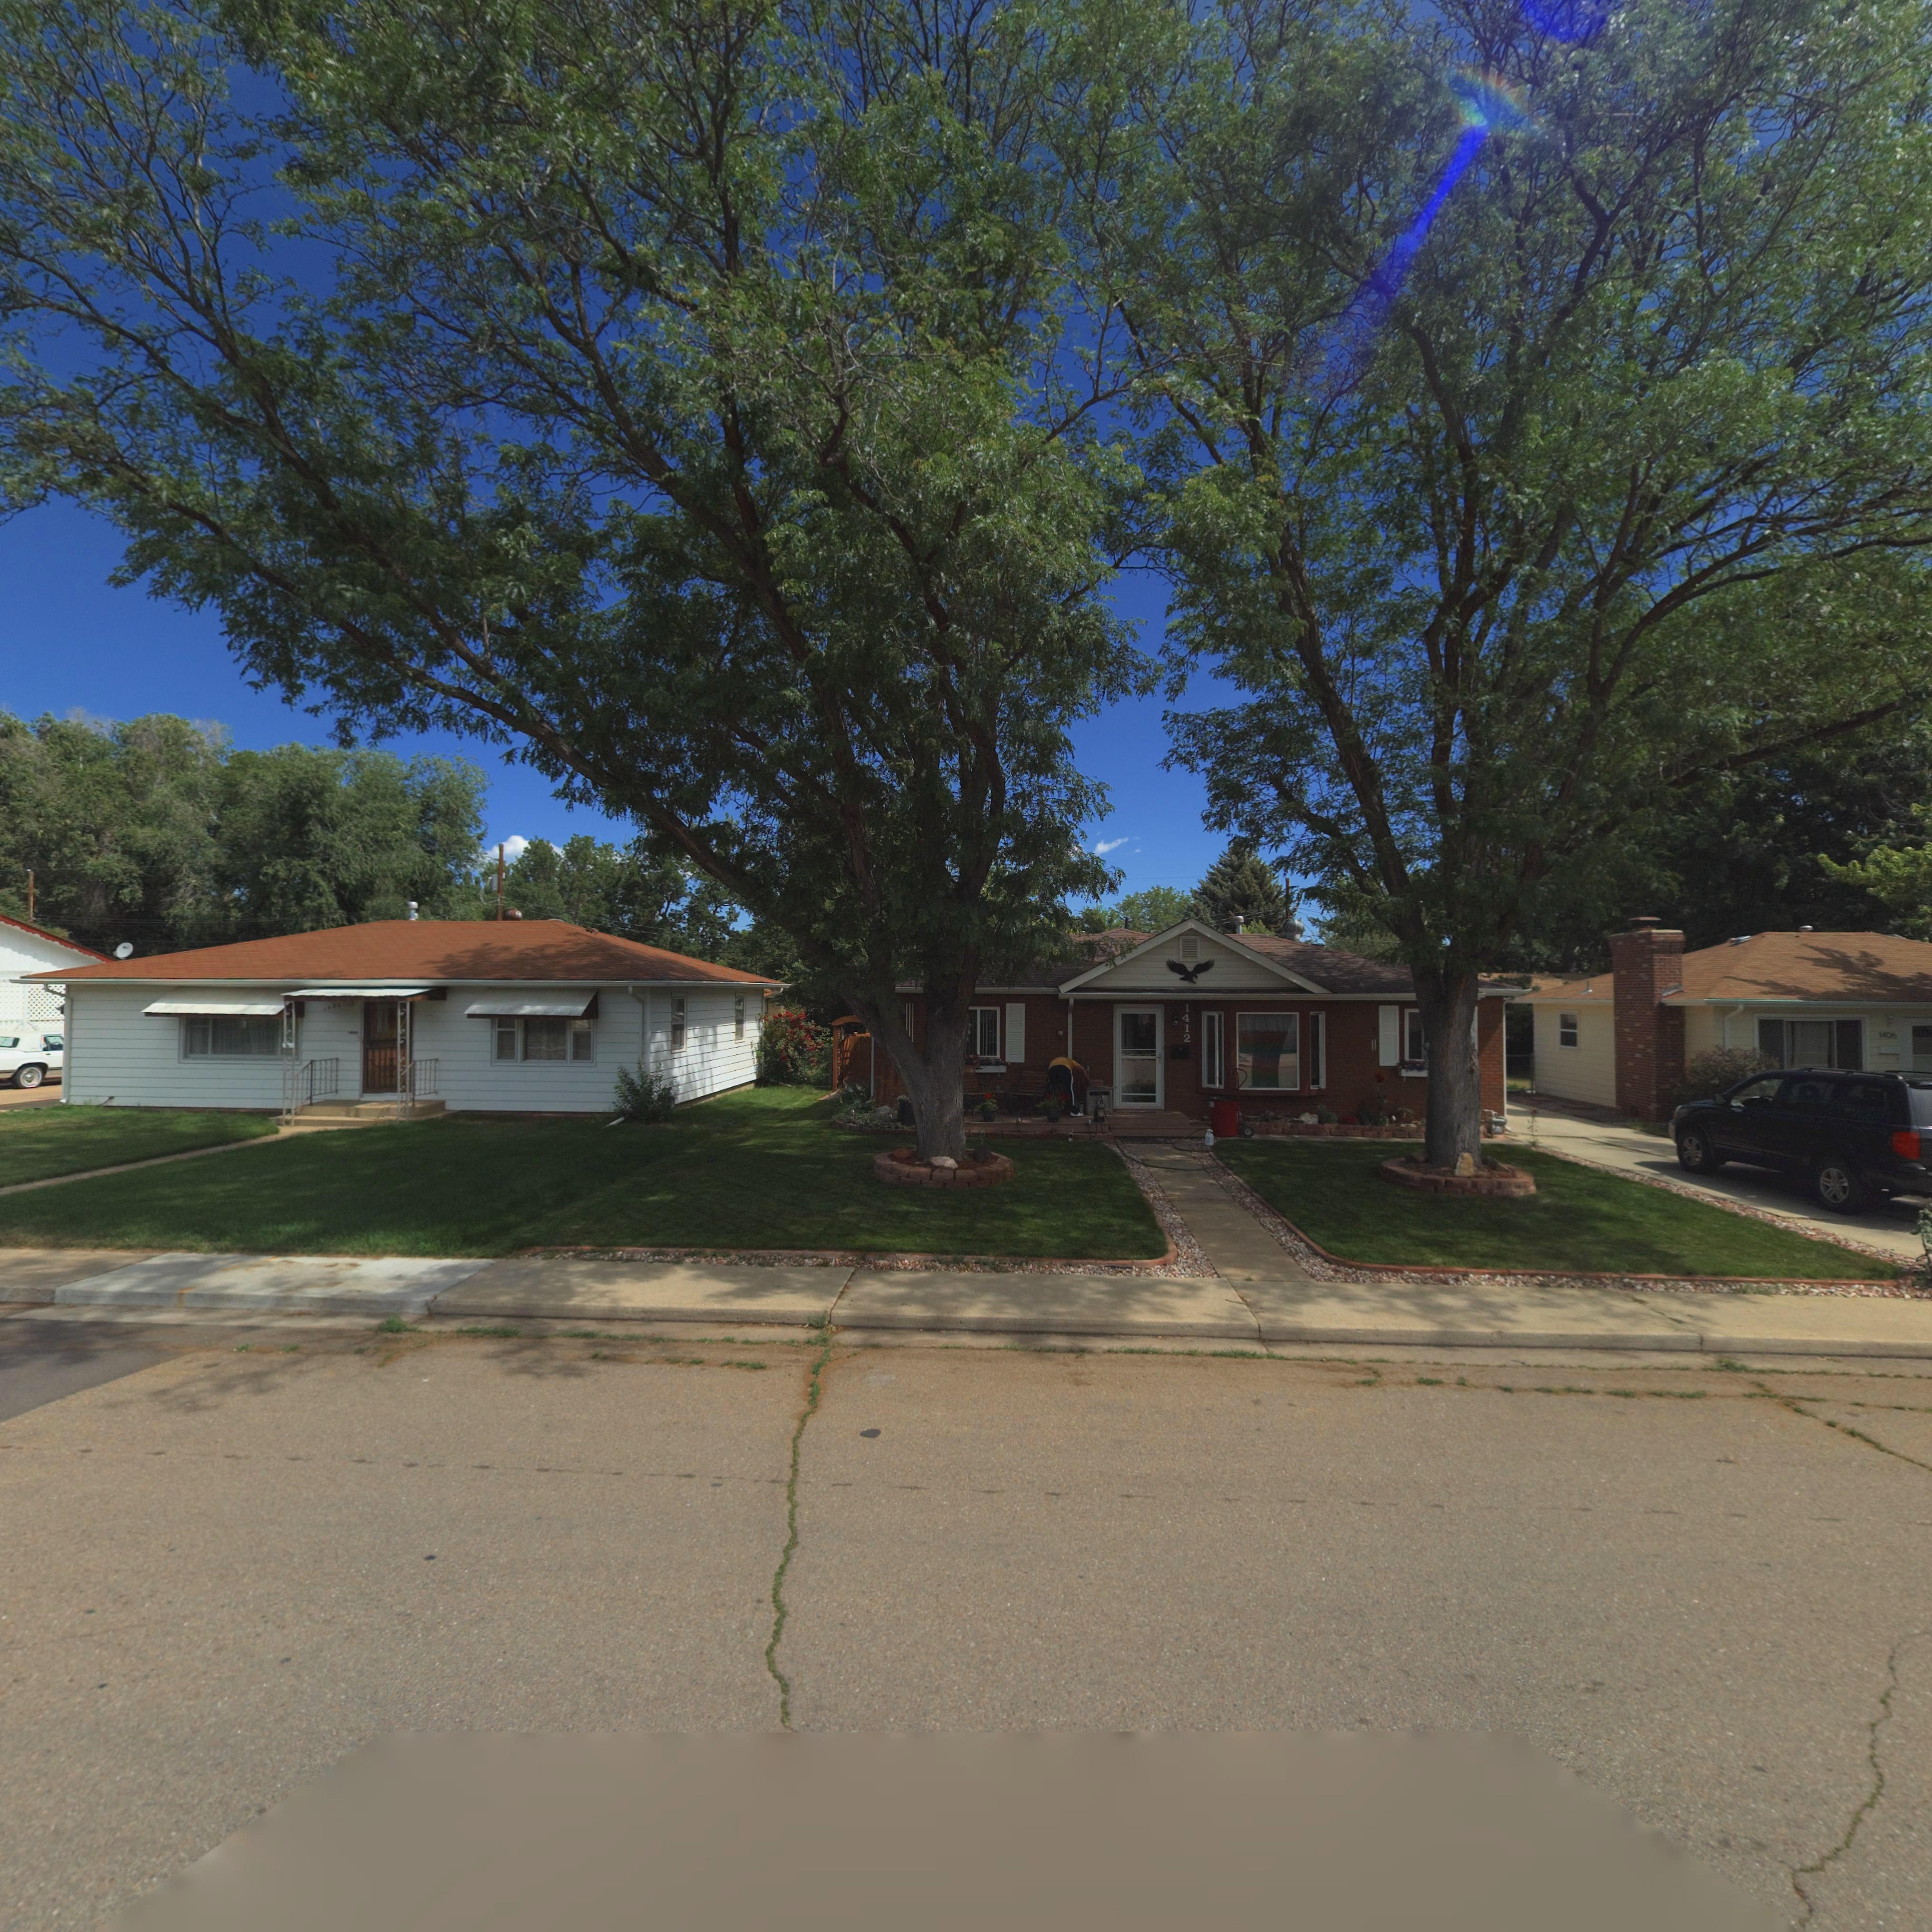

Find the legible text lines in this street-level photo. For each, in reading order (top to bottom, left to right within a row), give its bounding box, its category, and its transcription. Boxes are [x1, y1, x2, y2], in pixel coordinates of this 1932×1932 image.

[323, 1001, 341, 1012] StreetNumber: *4**
[1181, 1003, 1191, 1043] StreetNumber: 1412
[1878, 1031, 1897, 1038] StreetNumber: 1406